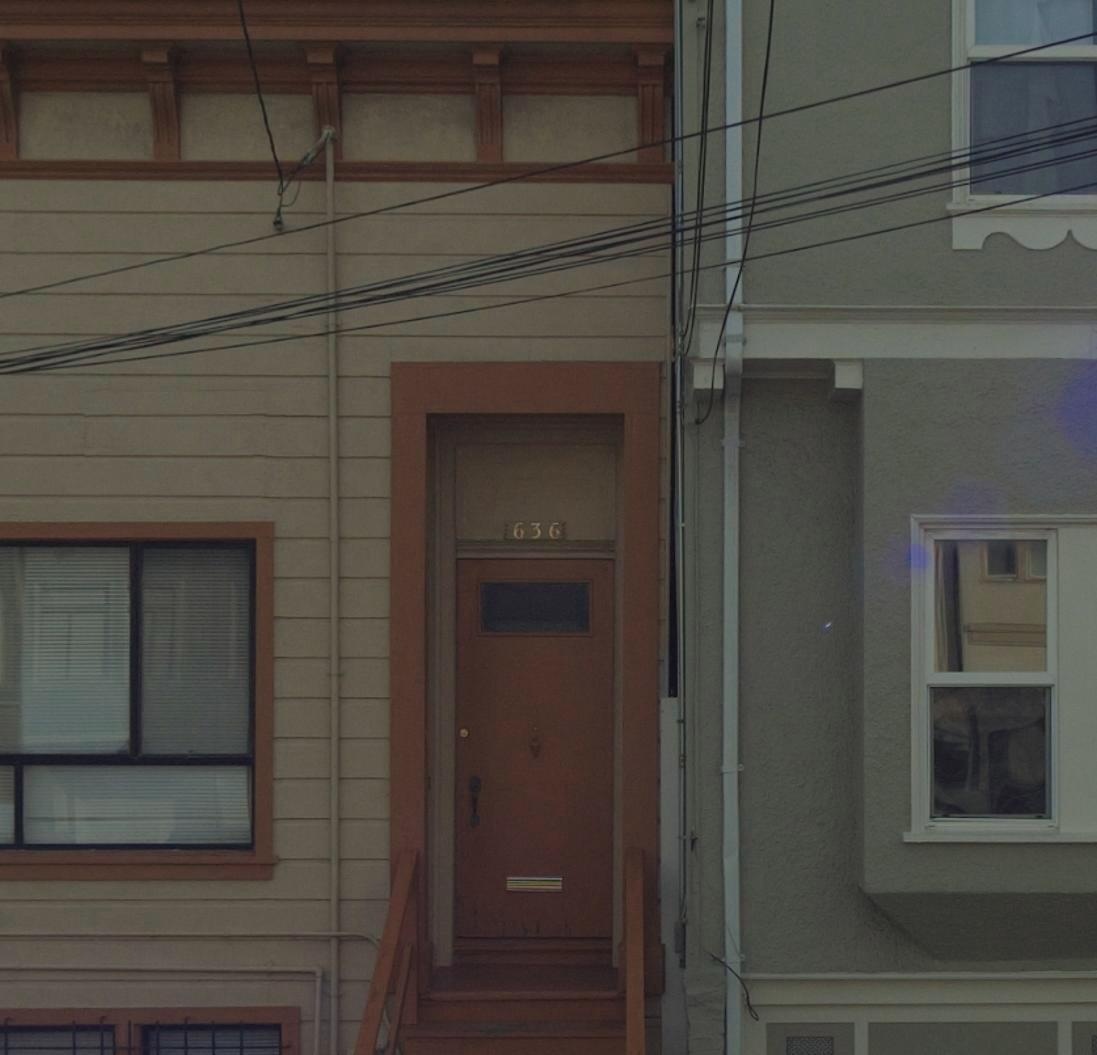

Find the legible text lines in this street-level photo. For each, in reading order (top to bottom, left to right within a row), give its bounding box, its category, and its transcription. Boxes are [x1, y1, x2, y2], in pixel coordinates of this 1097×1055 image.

[511, 520, 562, 542] StreetNumber: 636